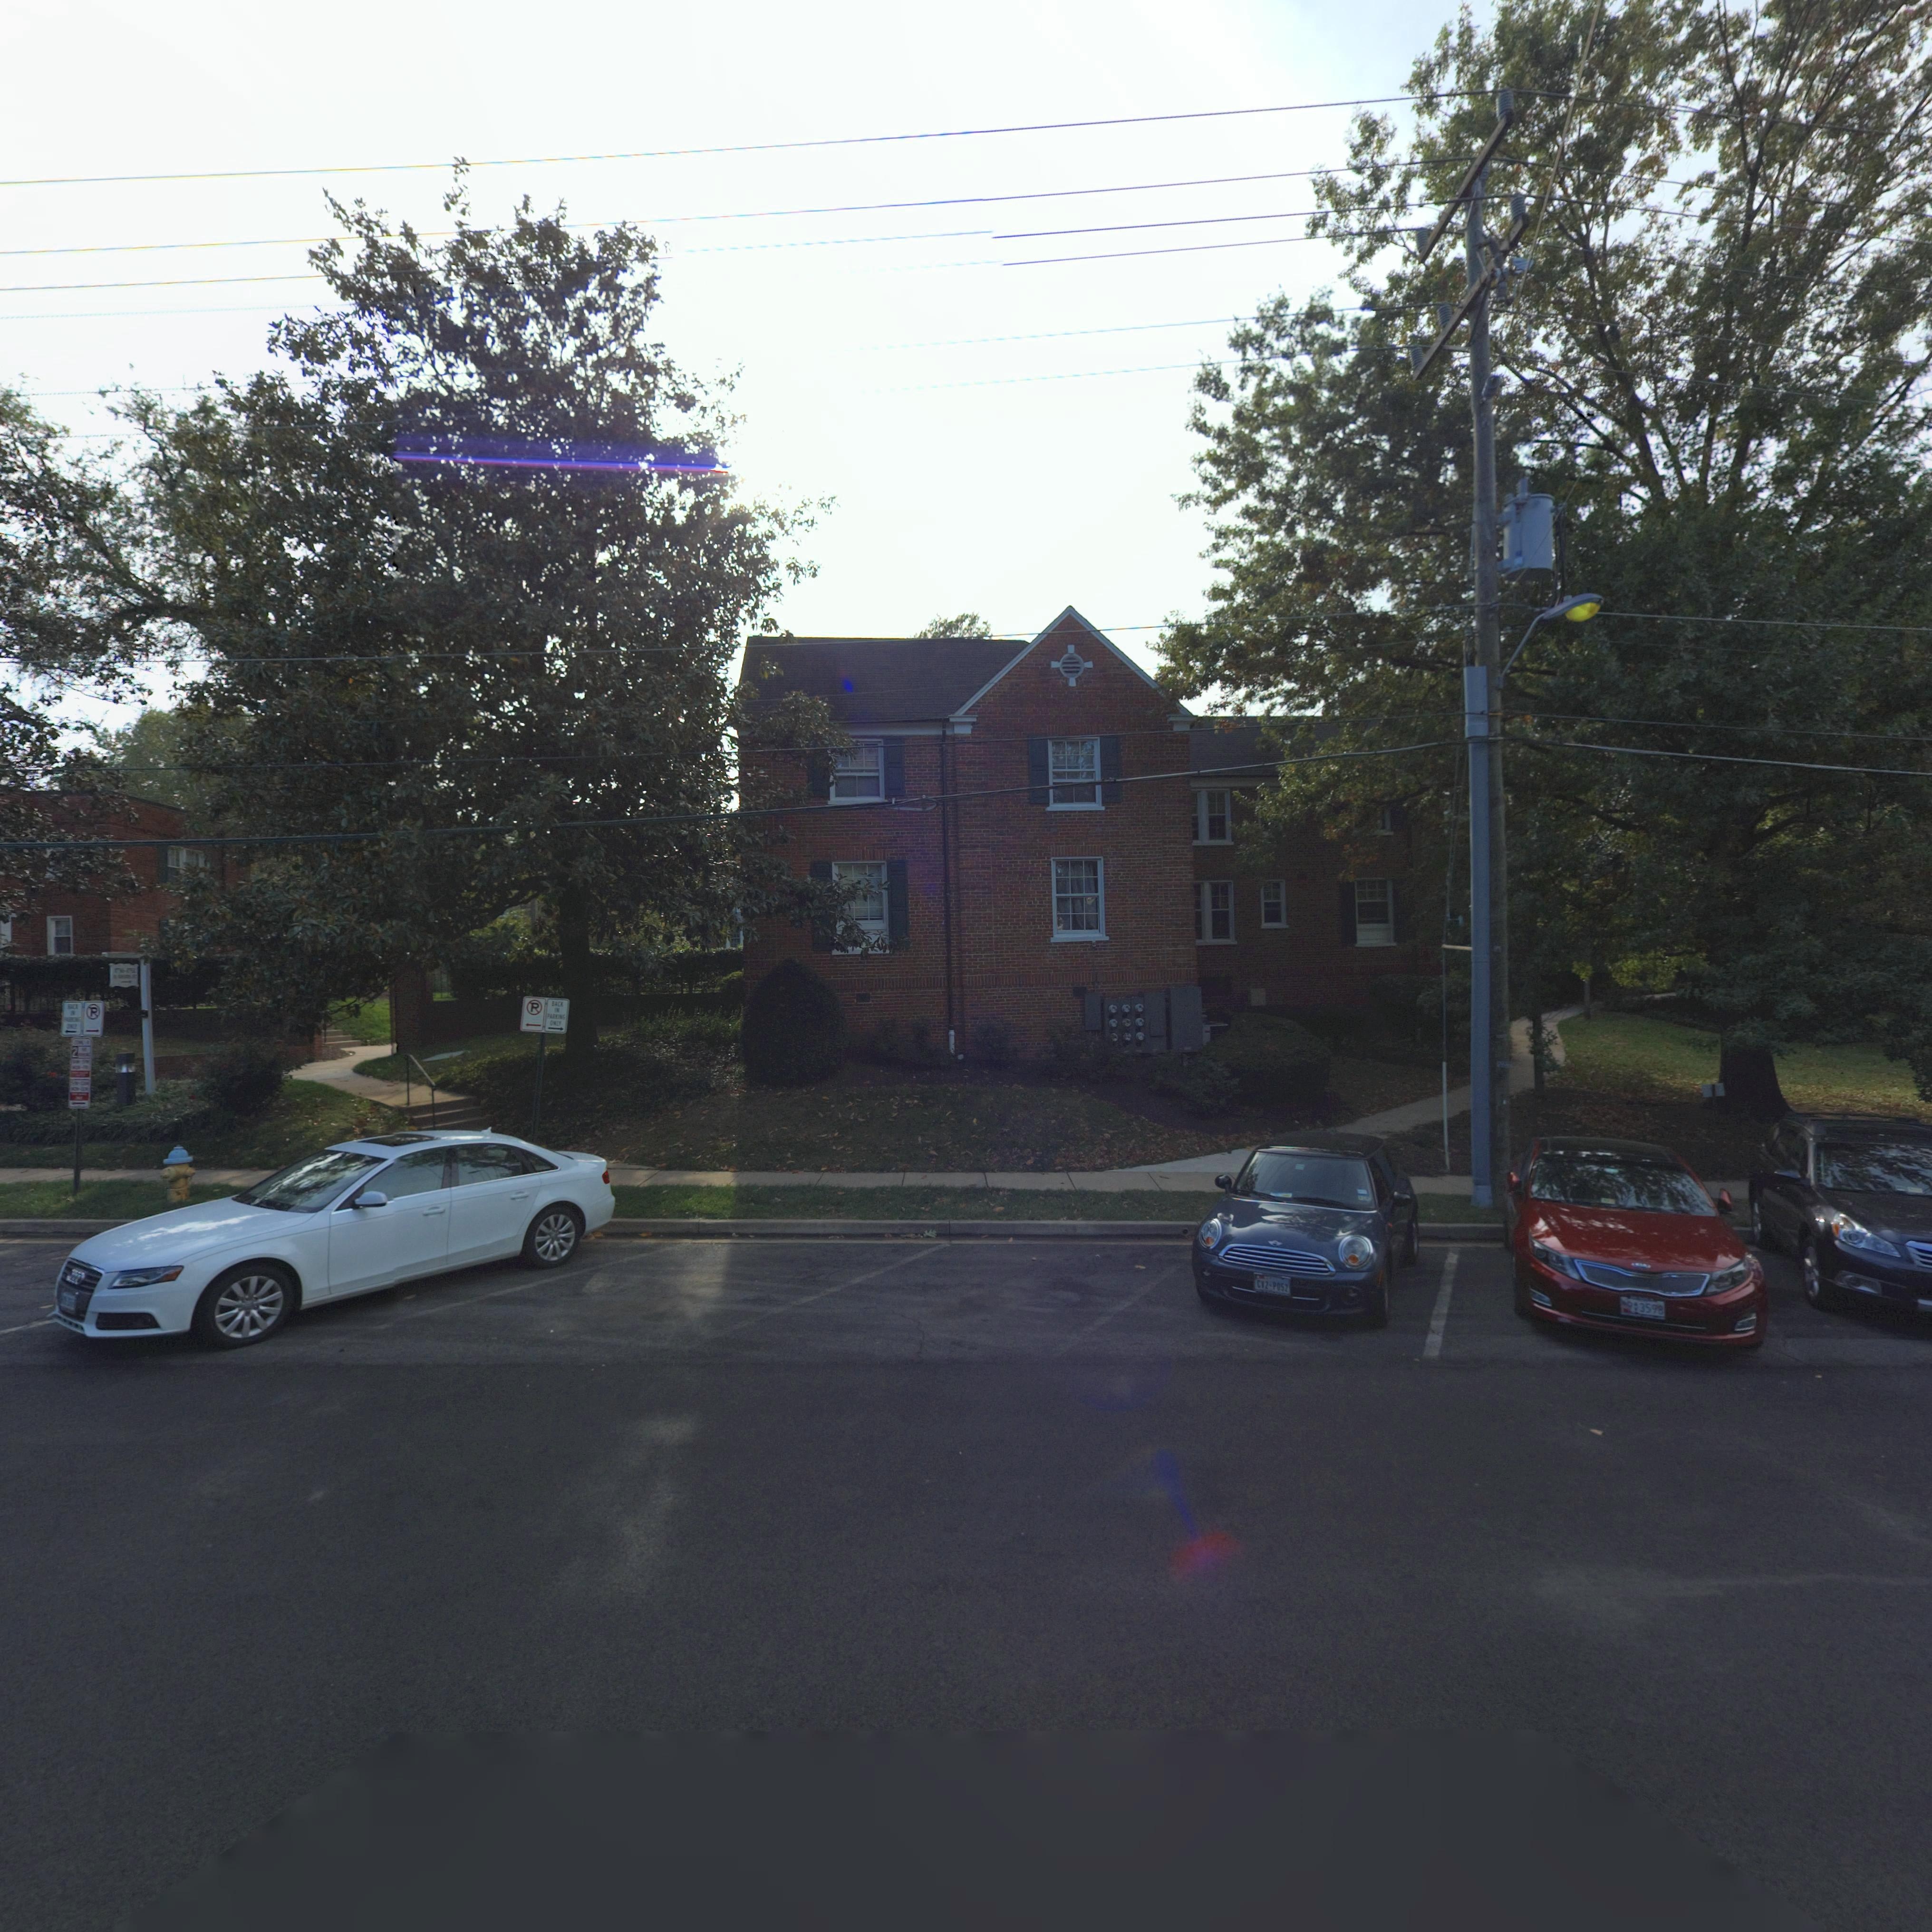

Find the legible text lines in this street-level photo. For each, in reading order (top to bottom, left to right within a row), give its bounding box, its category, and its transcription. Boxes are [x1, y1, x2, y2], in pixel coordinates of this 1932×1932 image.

[551, 1000, 564, 1007] None: BACK
[554, 1007, 560, 1013] None: IN
[547, 1013, 566, 1020] None: PARKING
[550, 1019, 562, 1026] None: ONLY
[71, 1046, 78, 1058] None: 2
[1257, 1279, 1289, 1293] None: CV2*P052
[1627, 1301, 1664, 1315] None: 9*3598